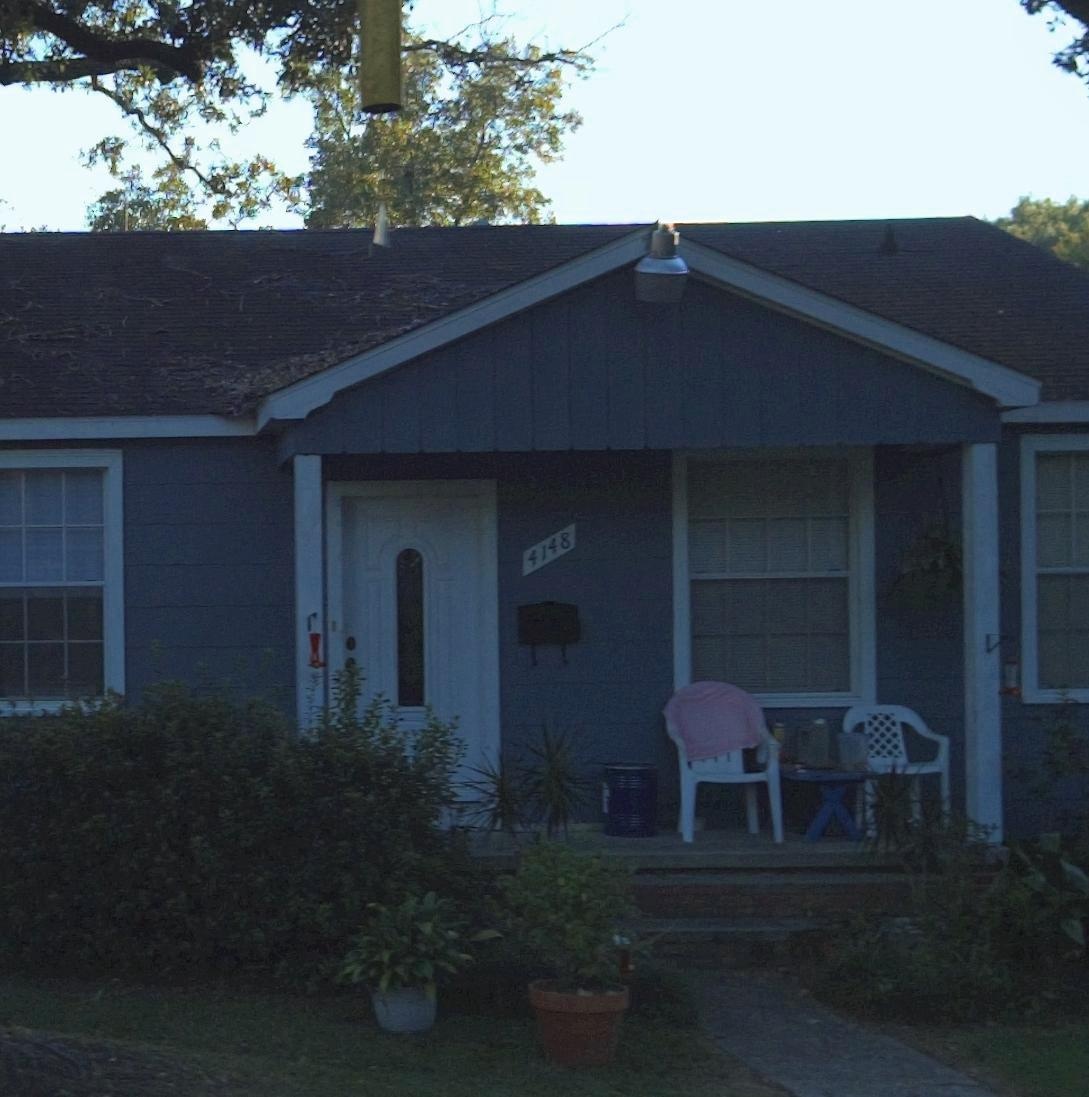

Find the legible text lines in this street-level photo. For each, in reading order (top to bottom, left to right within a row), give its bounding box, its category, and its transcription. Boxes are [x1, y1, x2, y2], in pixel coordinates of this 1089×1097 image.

[526, 523, 573, 574] StreetNumber: 4148